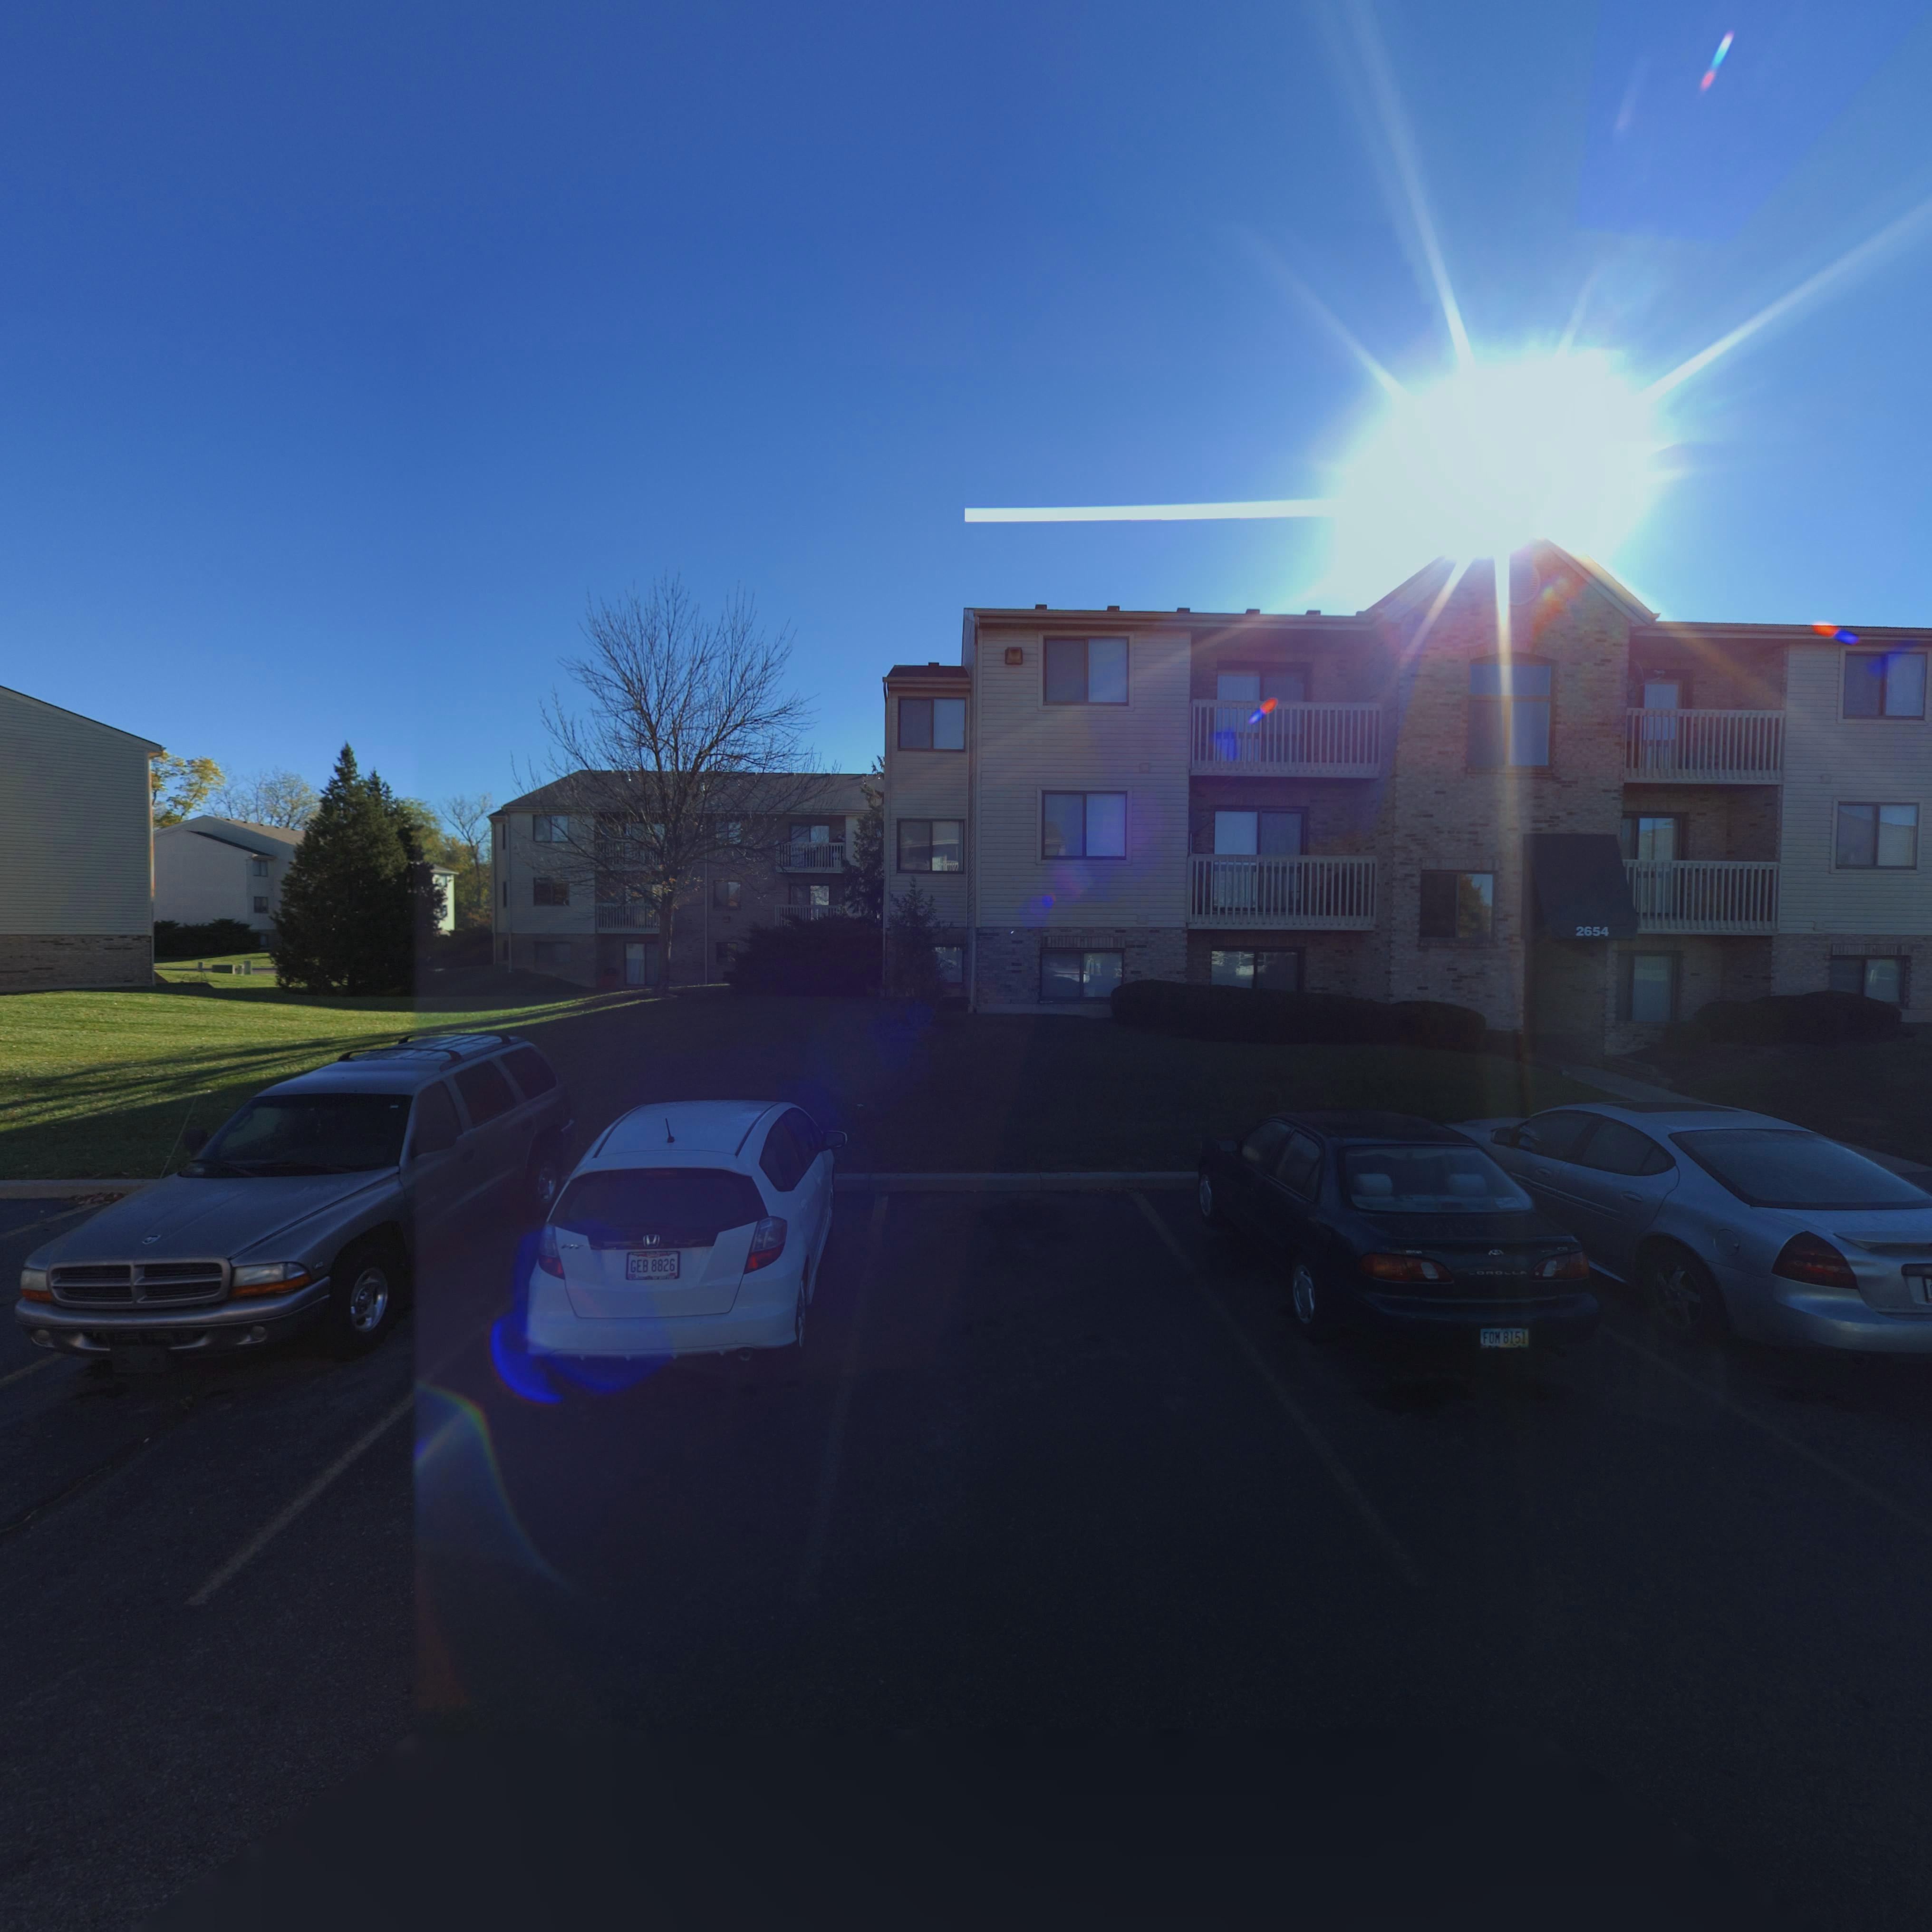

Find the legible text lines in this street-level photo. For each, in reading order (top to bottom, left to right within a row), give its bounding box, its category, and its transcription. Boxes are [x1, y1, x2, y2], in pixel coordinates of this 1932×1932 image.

[1575, 925, 1610, 937] StreetNumber: 2654